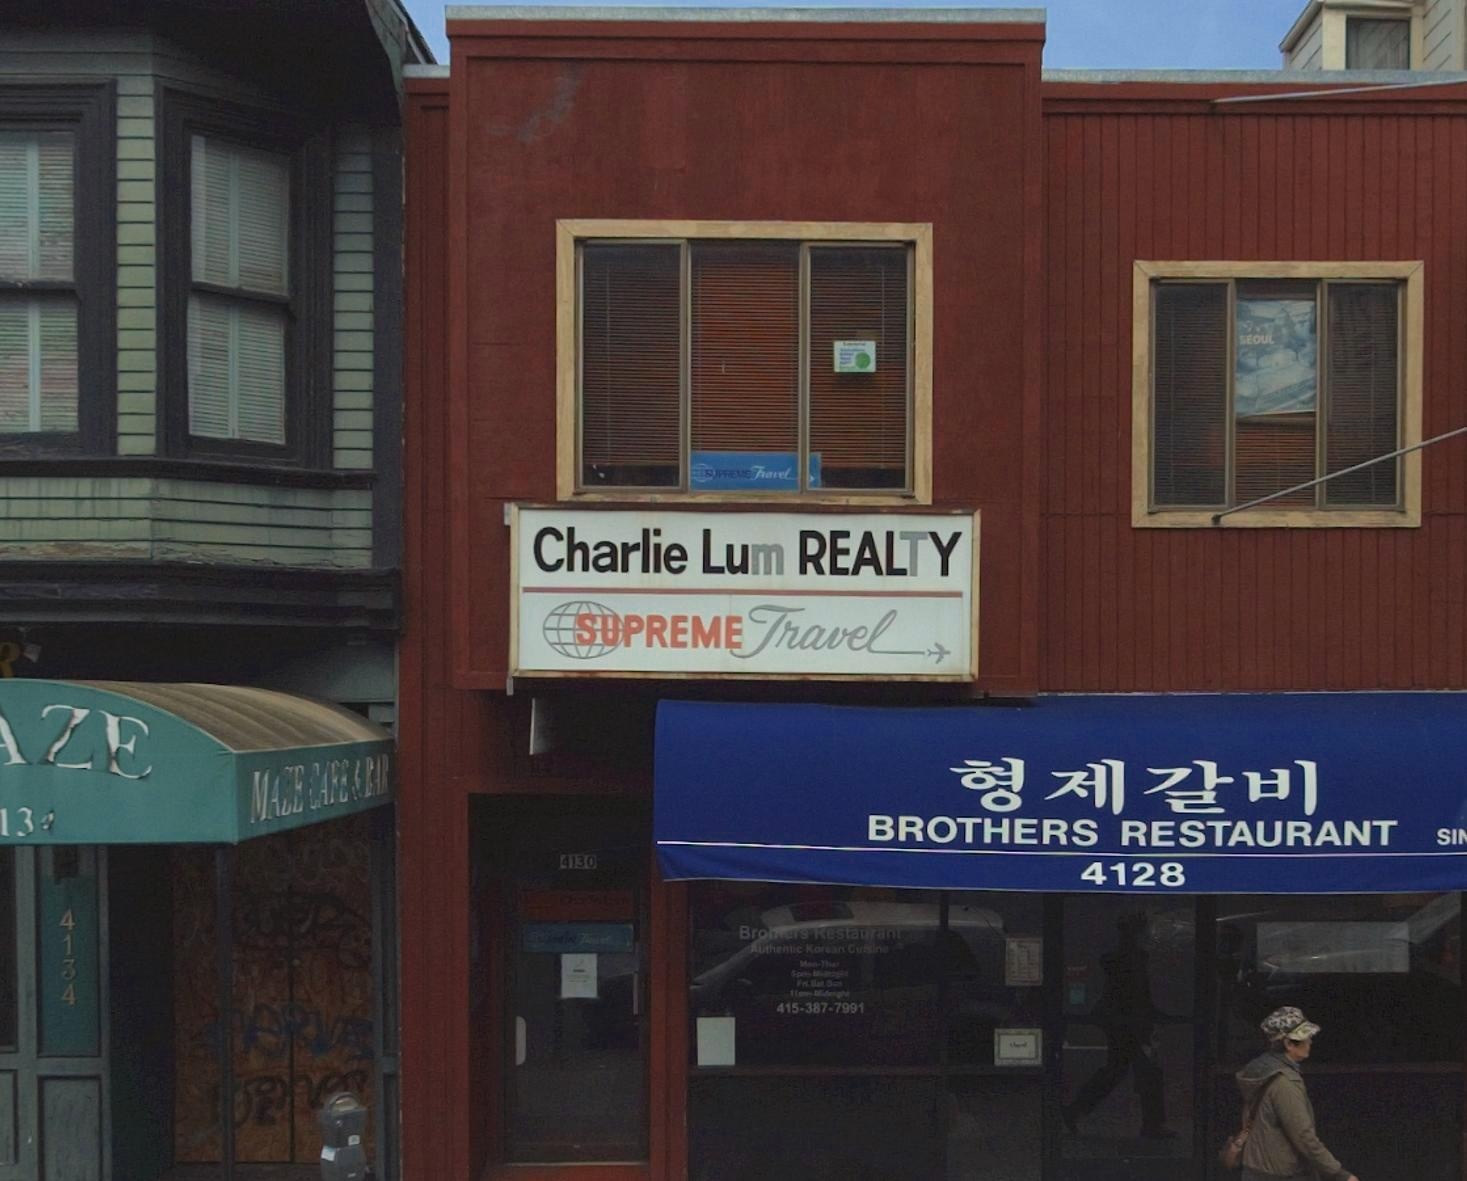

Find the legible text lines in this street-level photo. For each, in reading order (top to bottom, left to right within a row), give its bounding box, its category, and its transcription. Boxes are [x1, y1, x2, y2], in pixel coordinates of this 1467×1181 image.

[702, 461, 799, 483] BusinessName: SUPREME Travel
[532, 525, 963, 579] BusinessName: Charlie Lum REALTY
[570, 603, 931, 662] BusinessName: SUPREME Travel
[30, 696, 157, 794] BusinessName: ZE
[242, 747, 395, 829] BusinessName: MA*E CAFE & CAR
[0, 803, 36, 839] None: 13
[863, 809, 1403, 853] BusinessName: BROTHERS RESTAURANT
[1434, 825, 1459, 848] None: SI
[556, 853, 597, 872] StreetNumber: 4130
[1075, 857, 1192, 891] StreetNumber: 4128
[57, 903, 78, 1011] StreetNumber: 4134
[745, 940, 892, 956] None: Authentic Korean Cuisine
[797, 958, 841, 969] None: Mon-Thur
[736, 923, 903, 941] BusinessName: Brothers Restaurant
[768, 999, 868, 1016] None: 415-387-7991